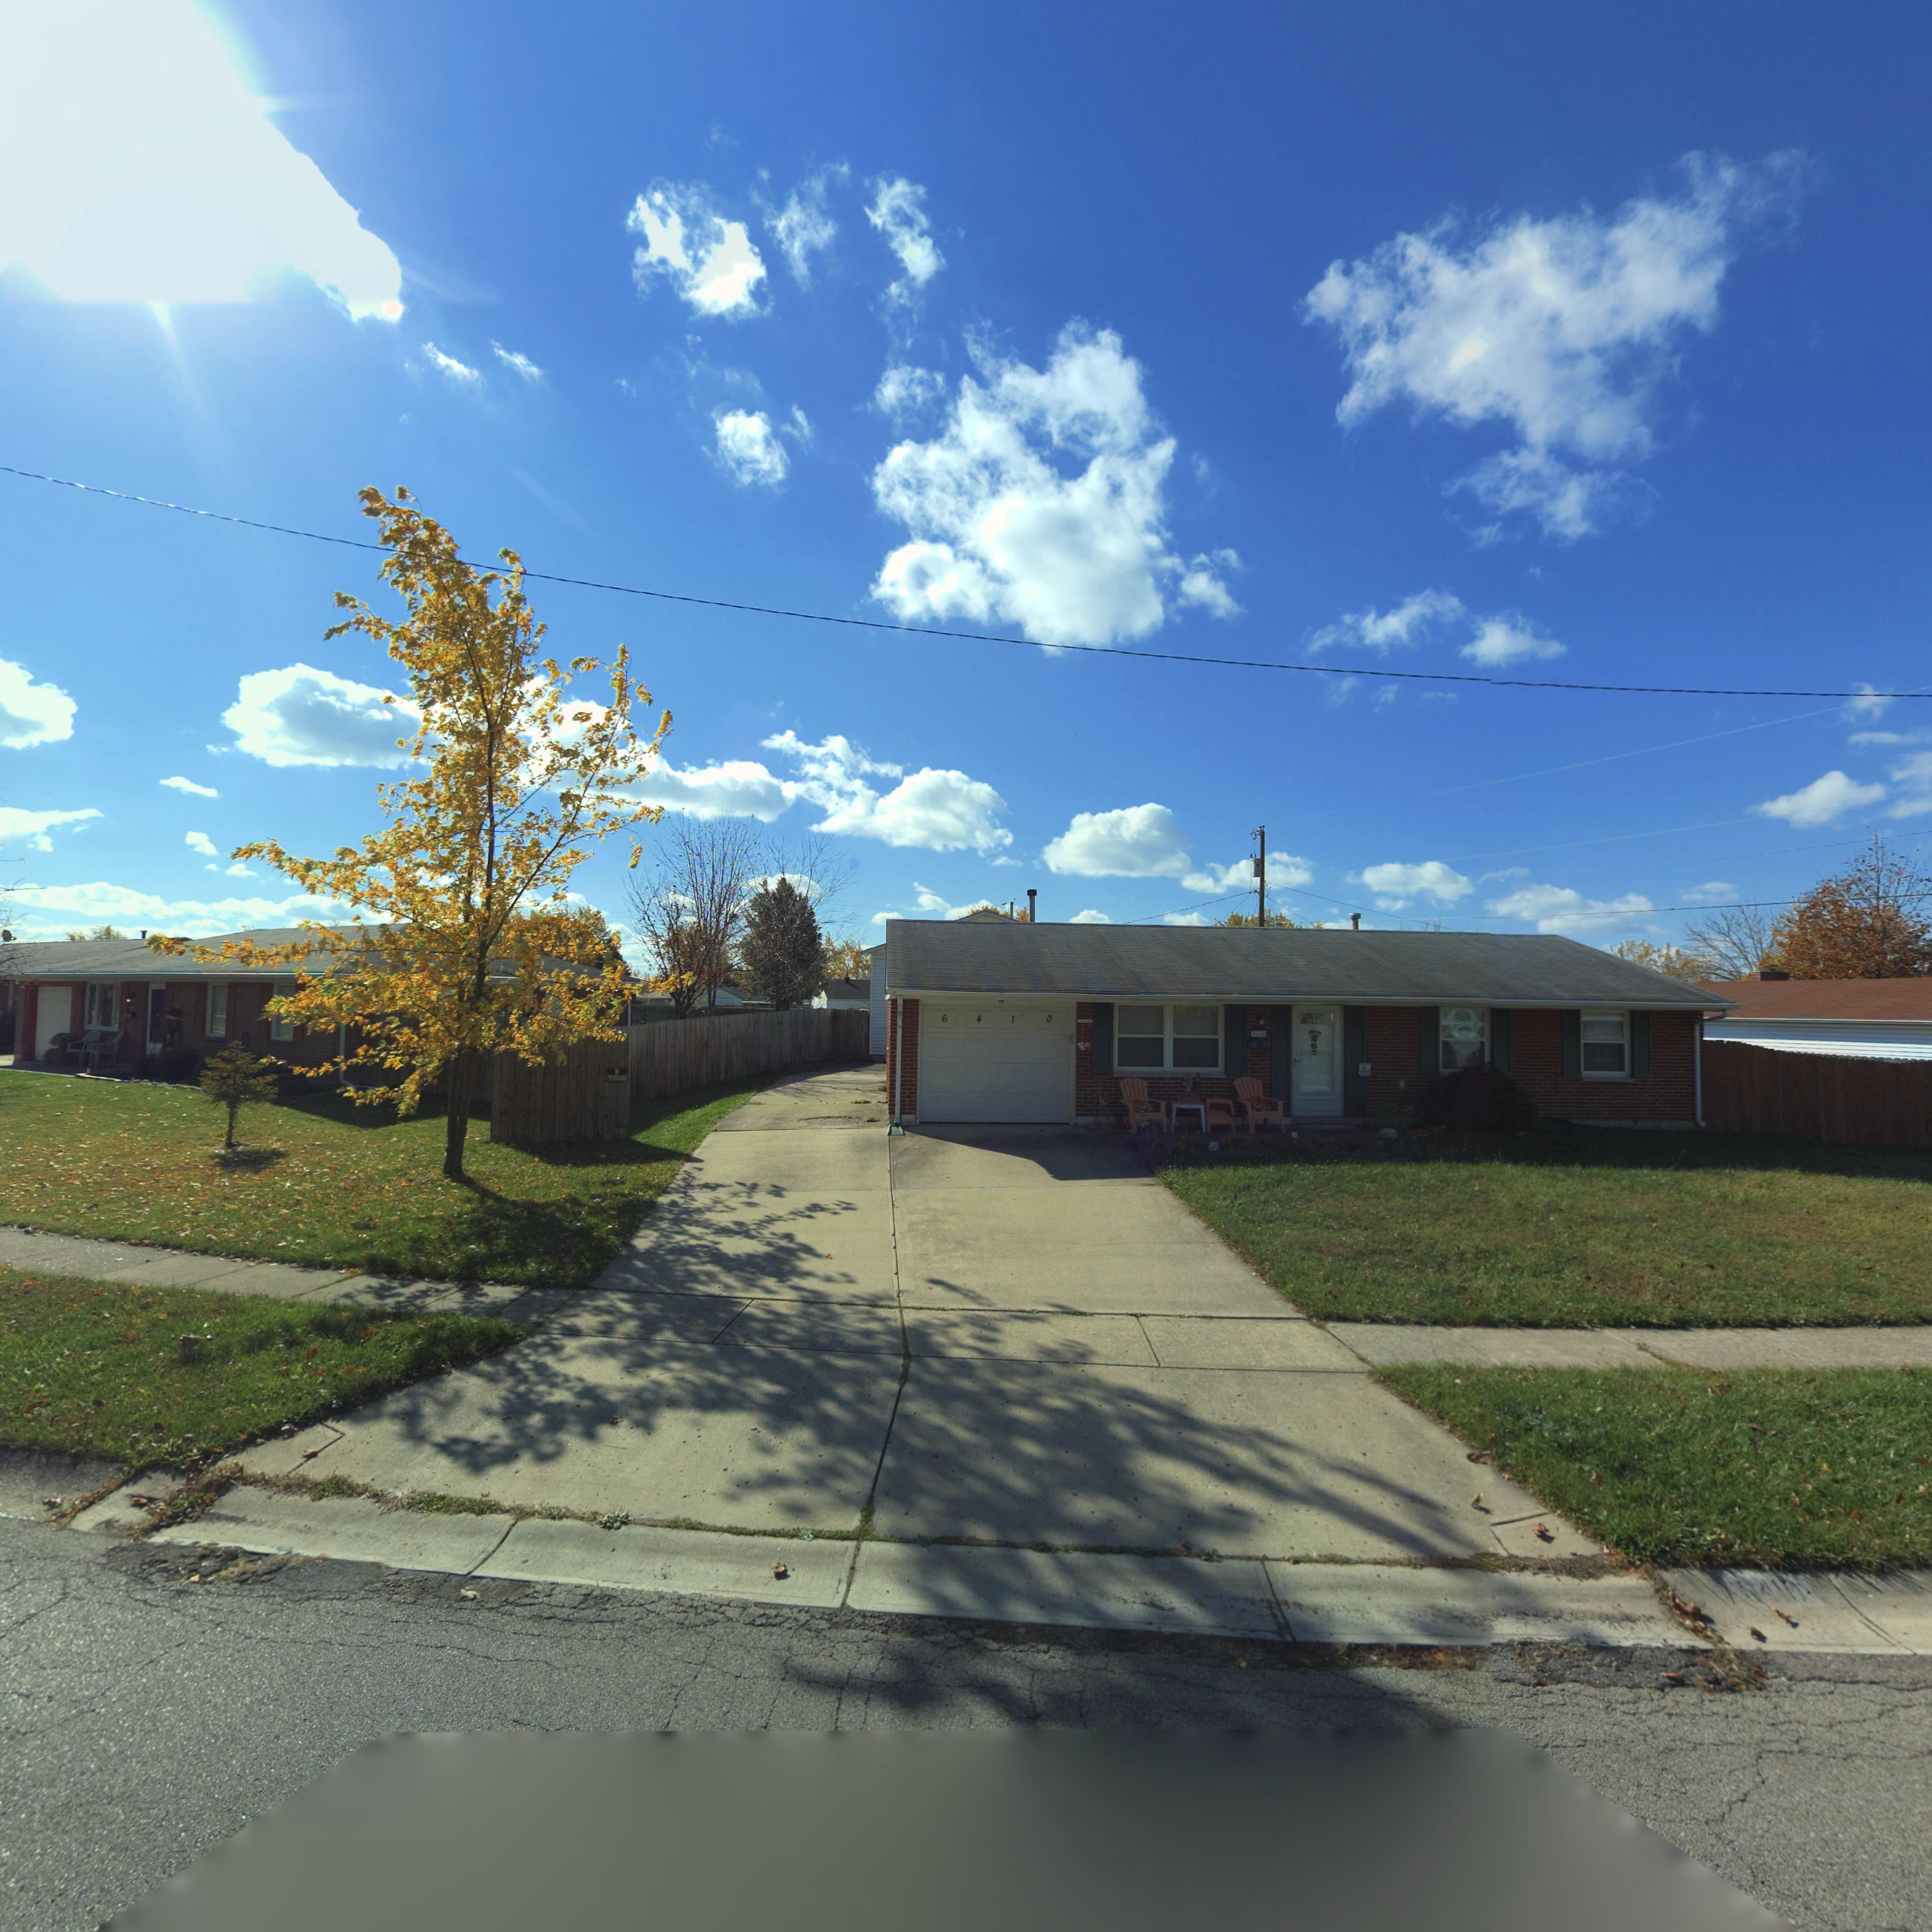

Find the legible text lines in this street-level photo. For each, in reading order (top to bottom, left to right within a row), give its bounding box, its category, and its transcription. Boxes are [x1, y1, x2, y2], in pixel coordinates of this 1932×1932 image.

[940, 1014, 1053, 1024] StreetNumber: 6410
[1251, 1031, 1266, 1037] StreetNumber: *410
[1732, 1577, 1811, 1604] StreetNumber: *410